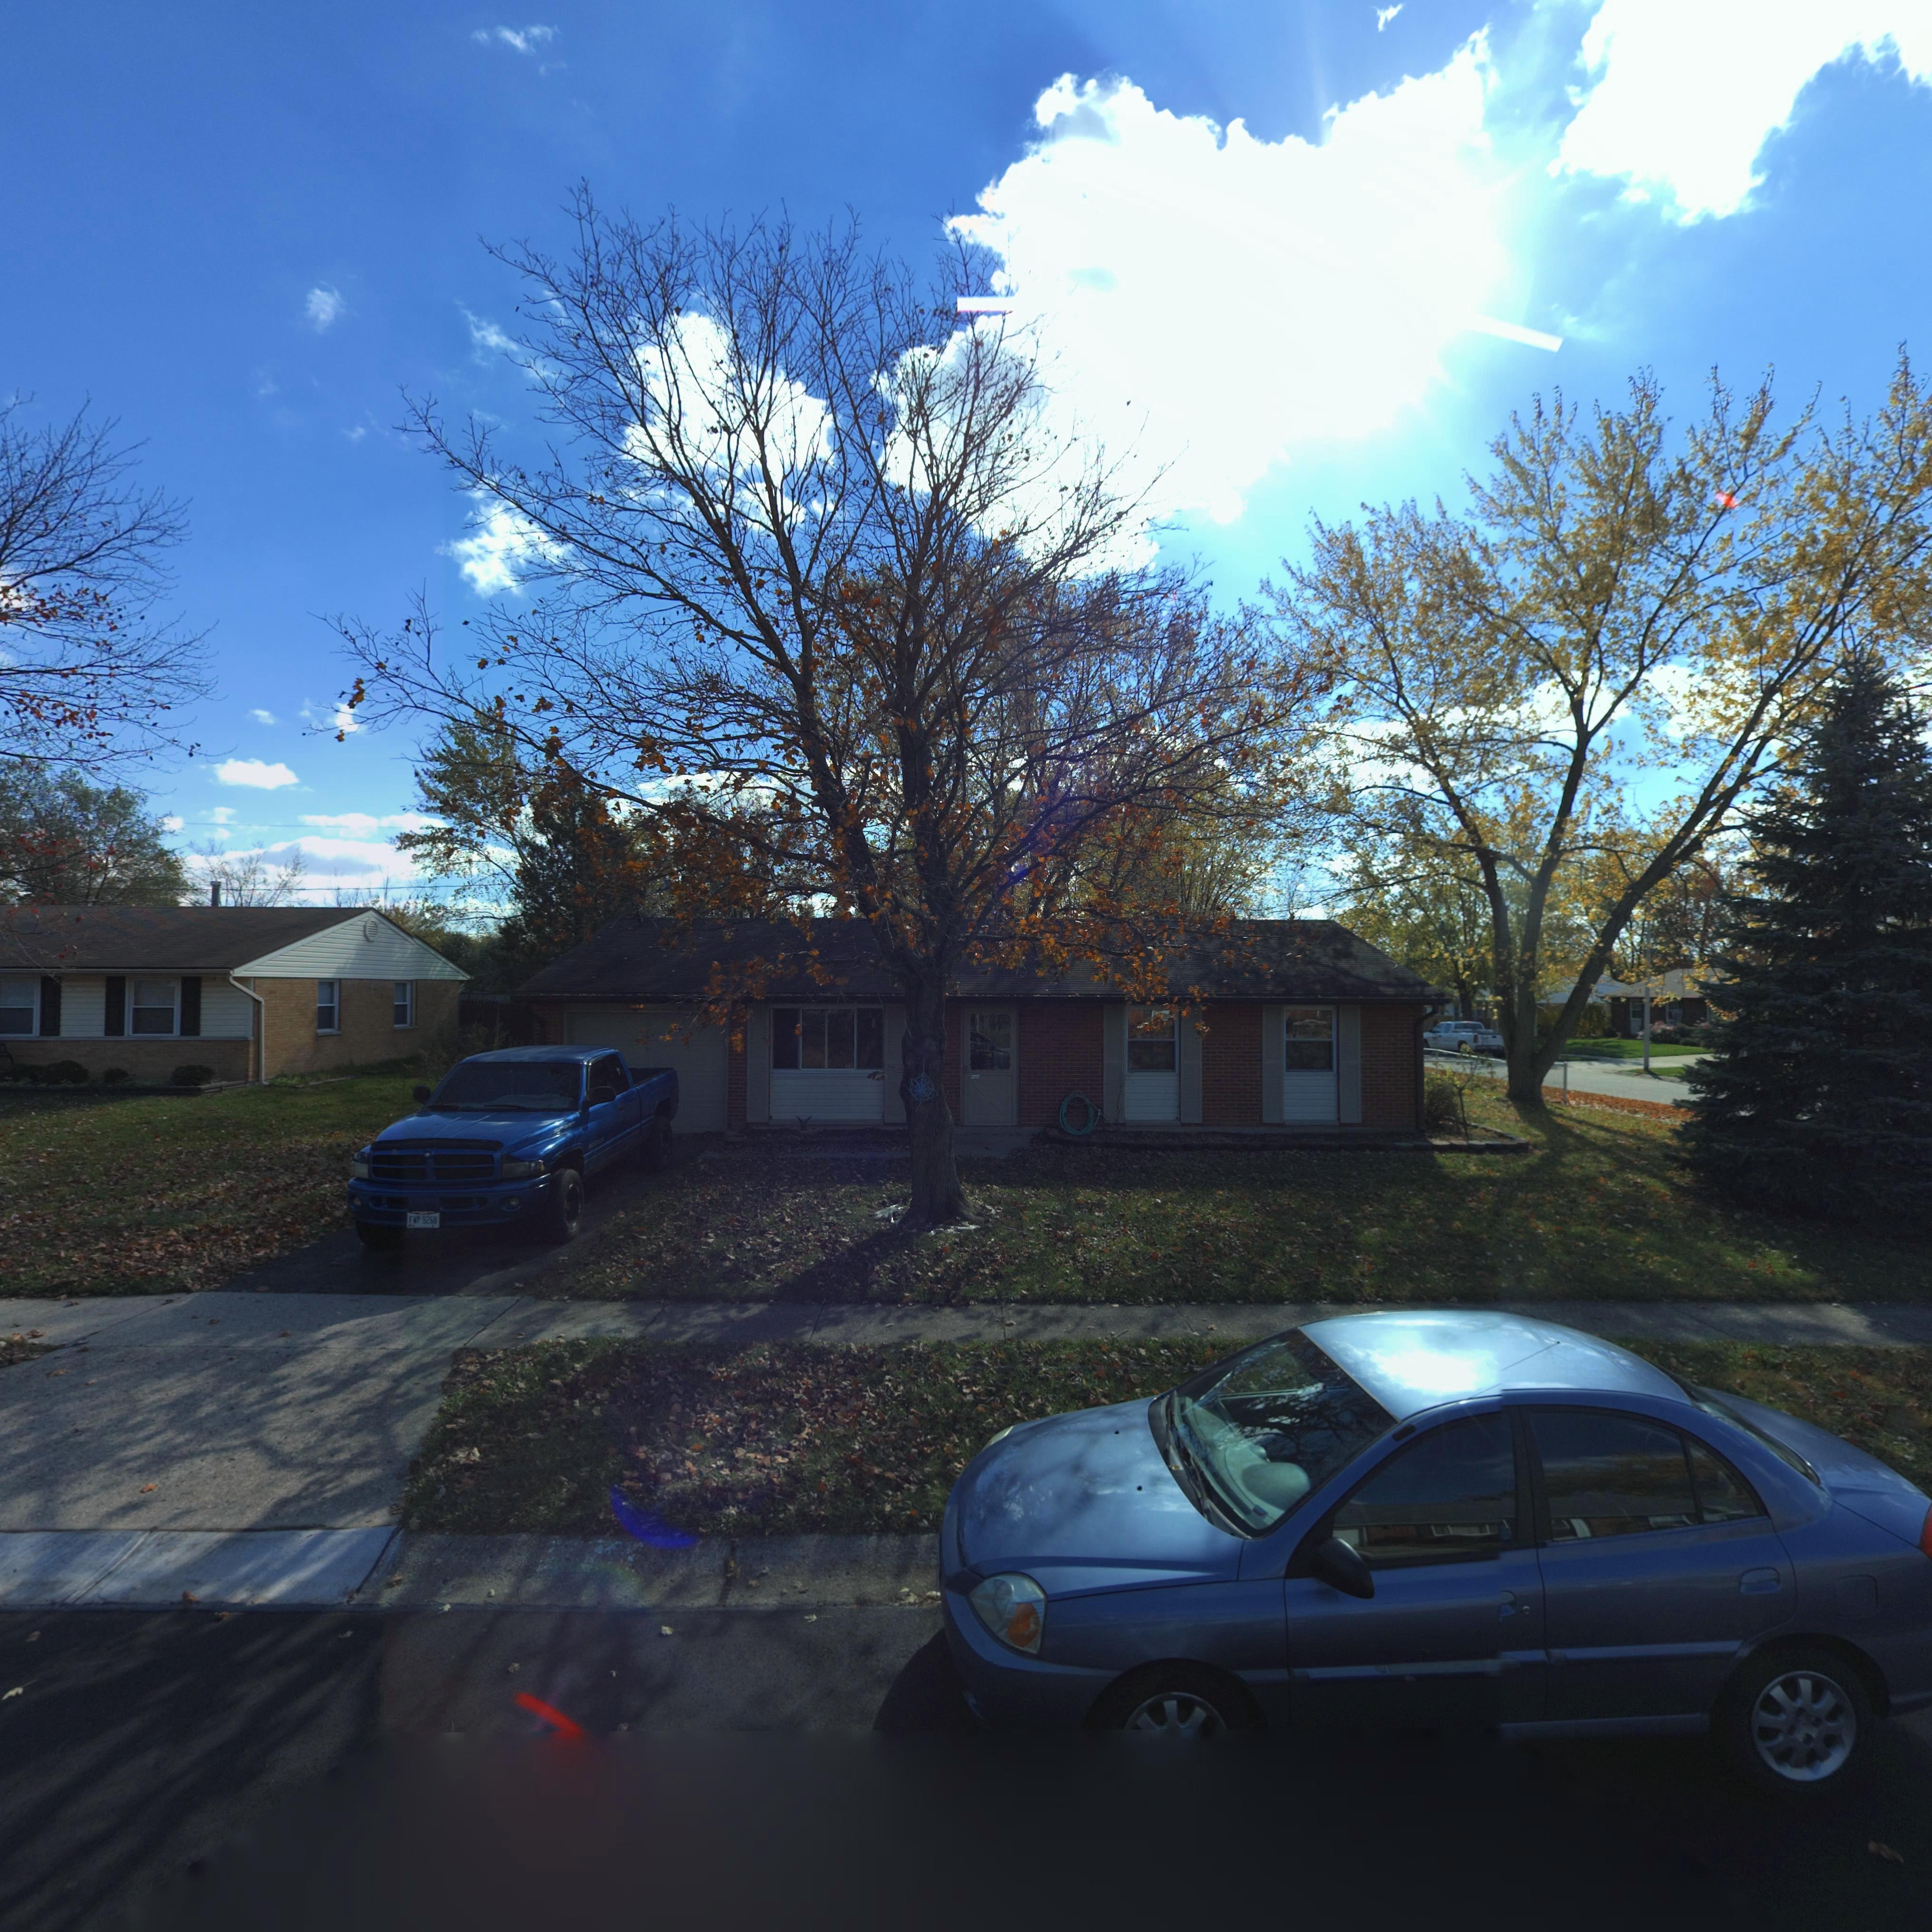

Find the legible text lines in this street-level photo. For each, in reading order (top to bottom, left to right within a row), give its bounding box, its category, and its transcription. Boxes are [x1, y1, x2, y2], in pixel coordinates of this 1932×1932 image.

[696, 1002, 701, 1010] StreetNumber: 7